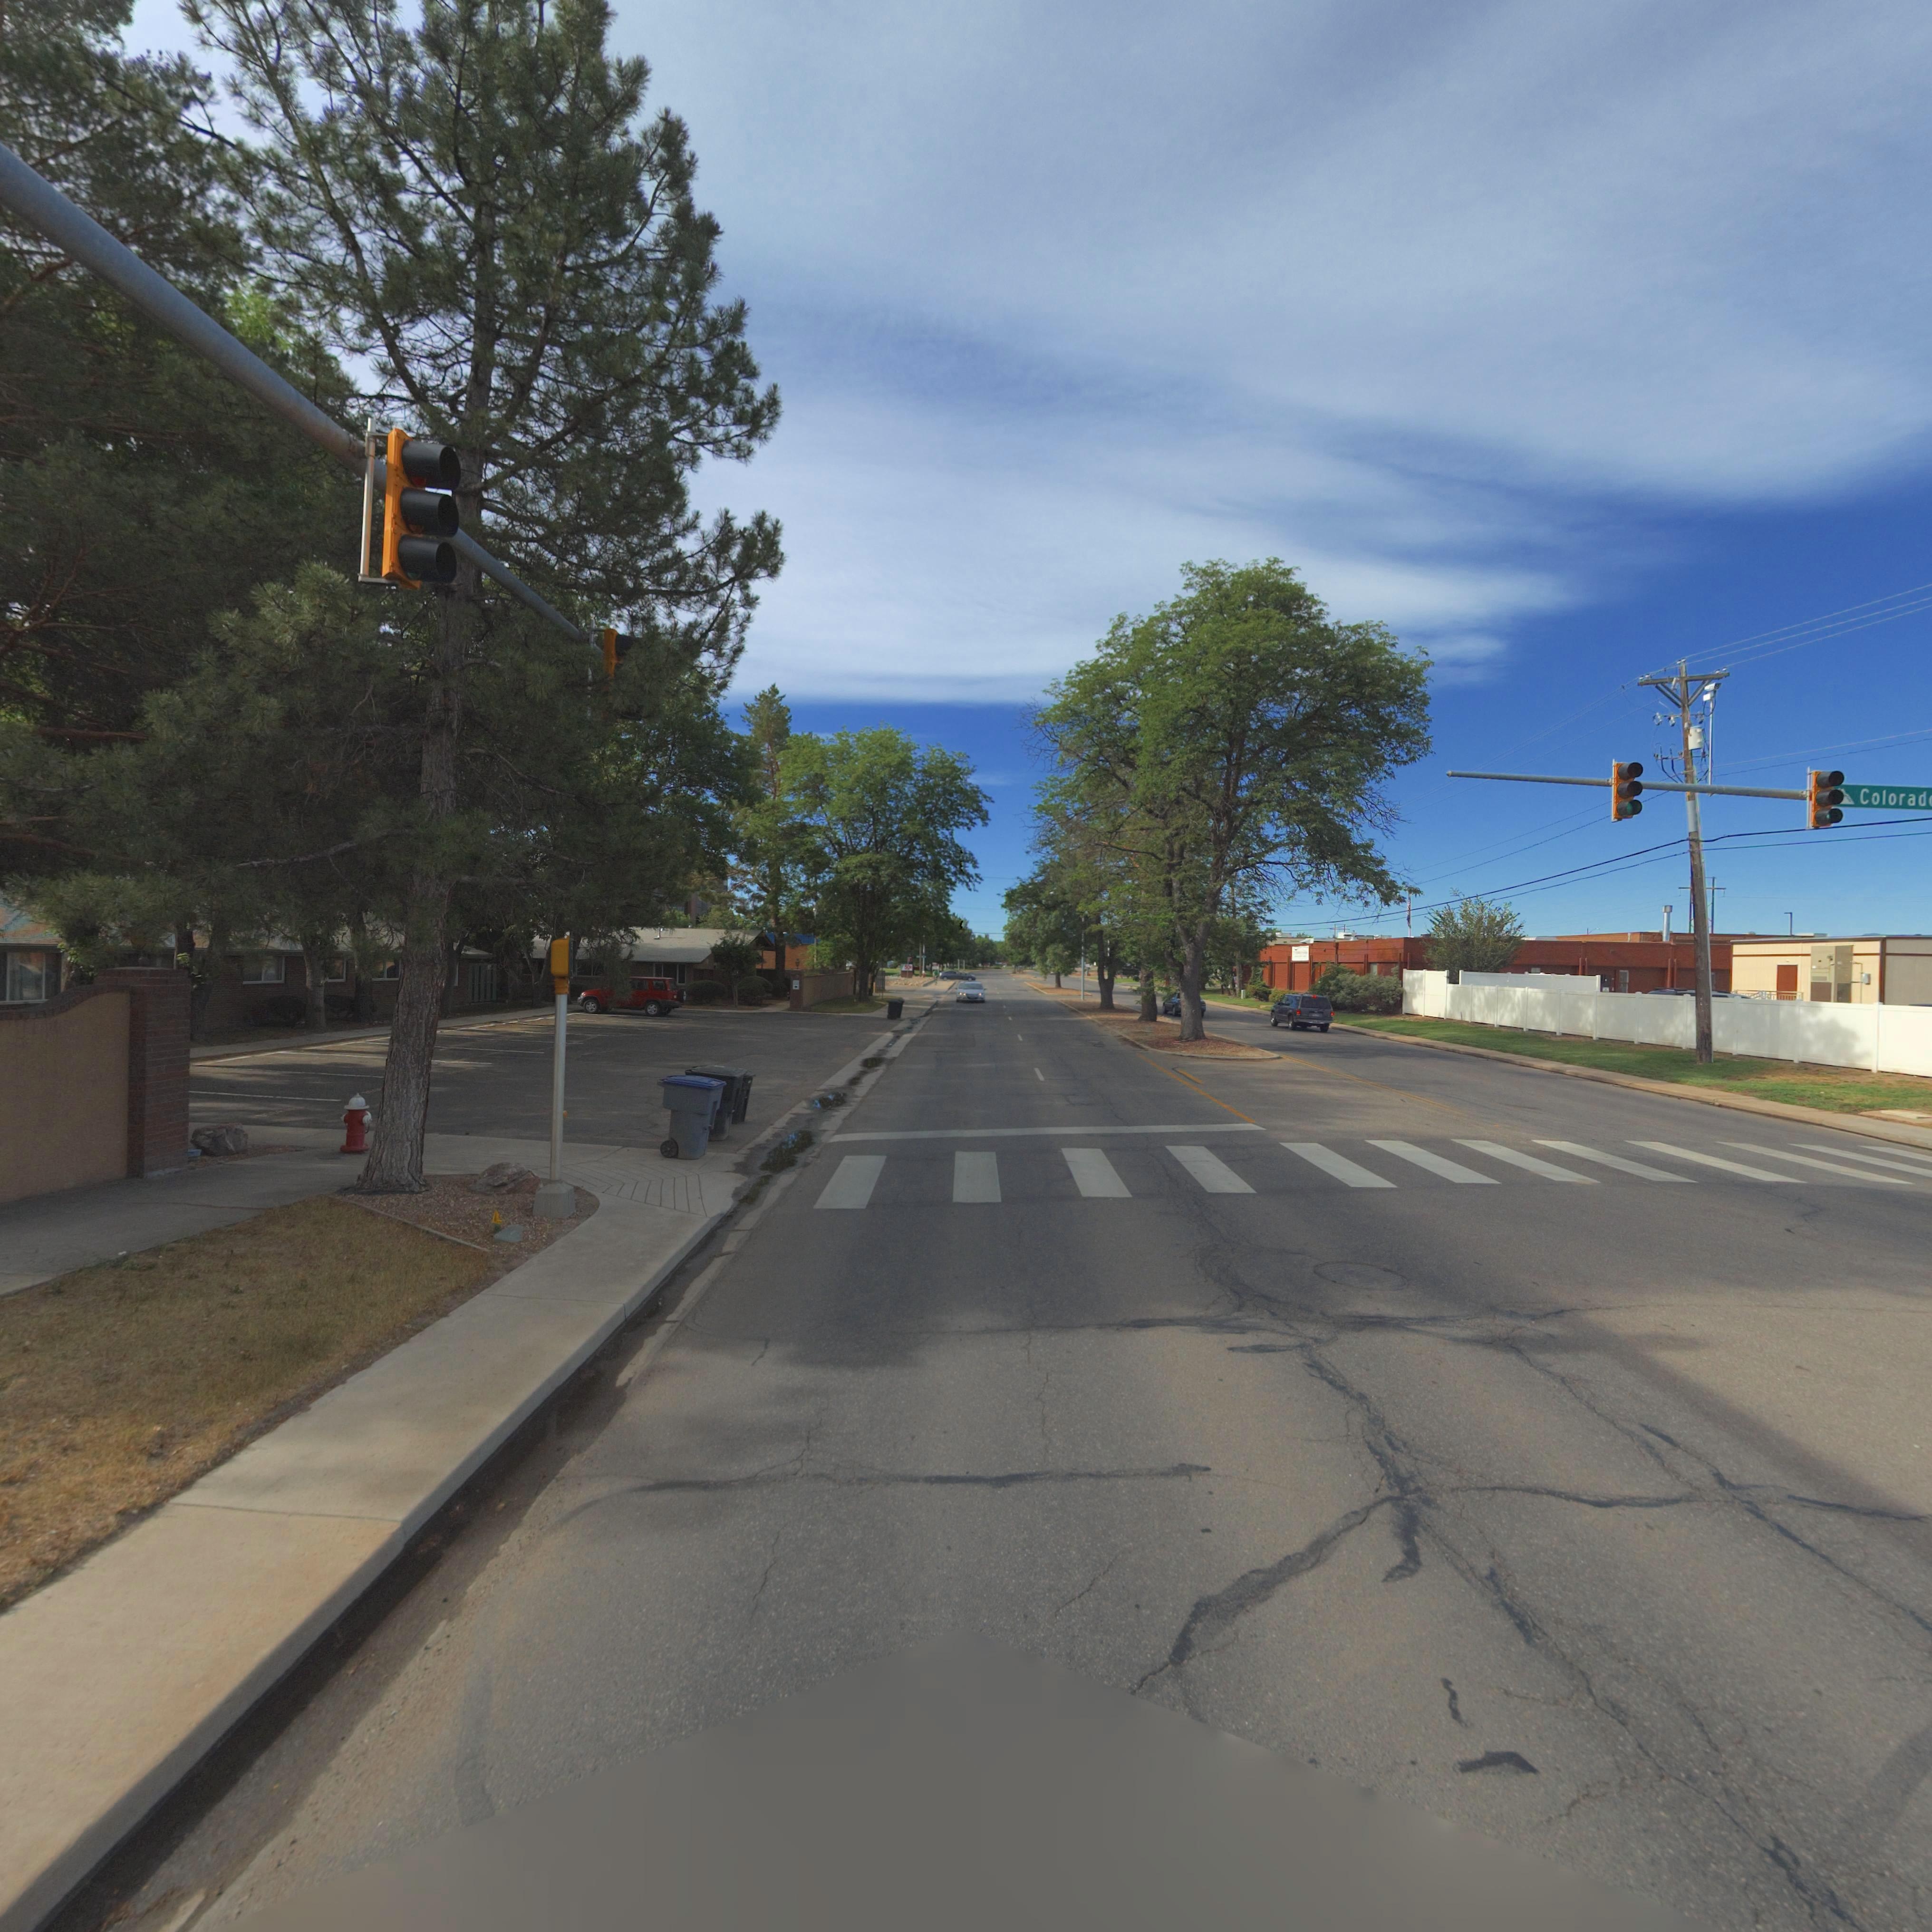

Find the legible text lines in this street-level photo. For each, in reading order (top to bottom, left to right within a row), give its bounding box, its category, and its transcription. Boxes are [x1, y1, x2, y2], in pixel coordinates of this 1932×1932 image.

[1858, 787, 1928, 806] StreetName: Colorad